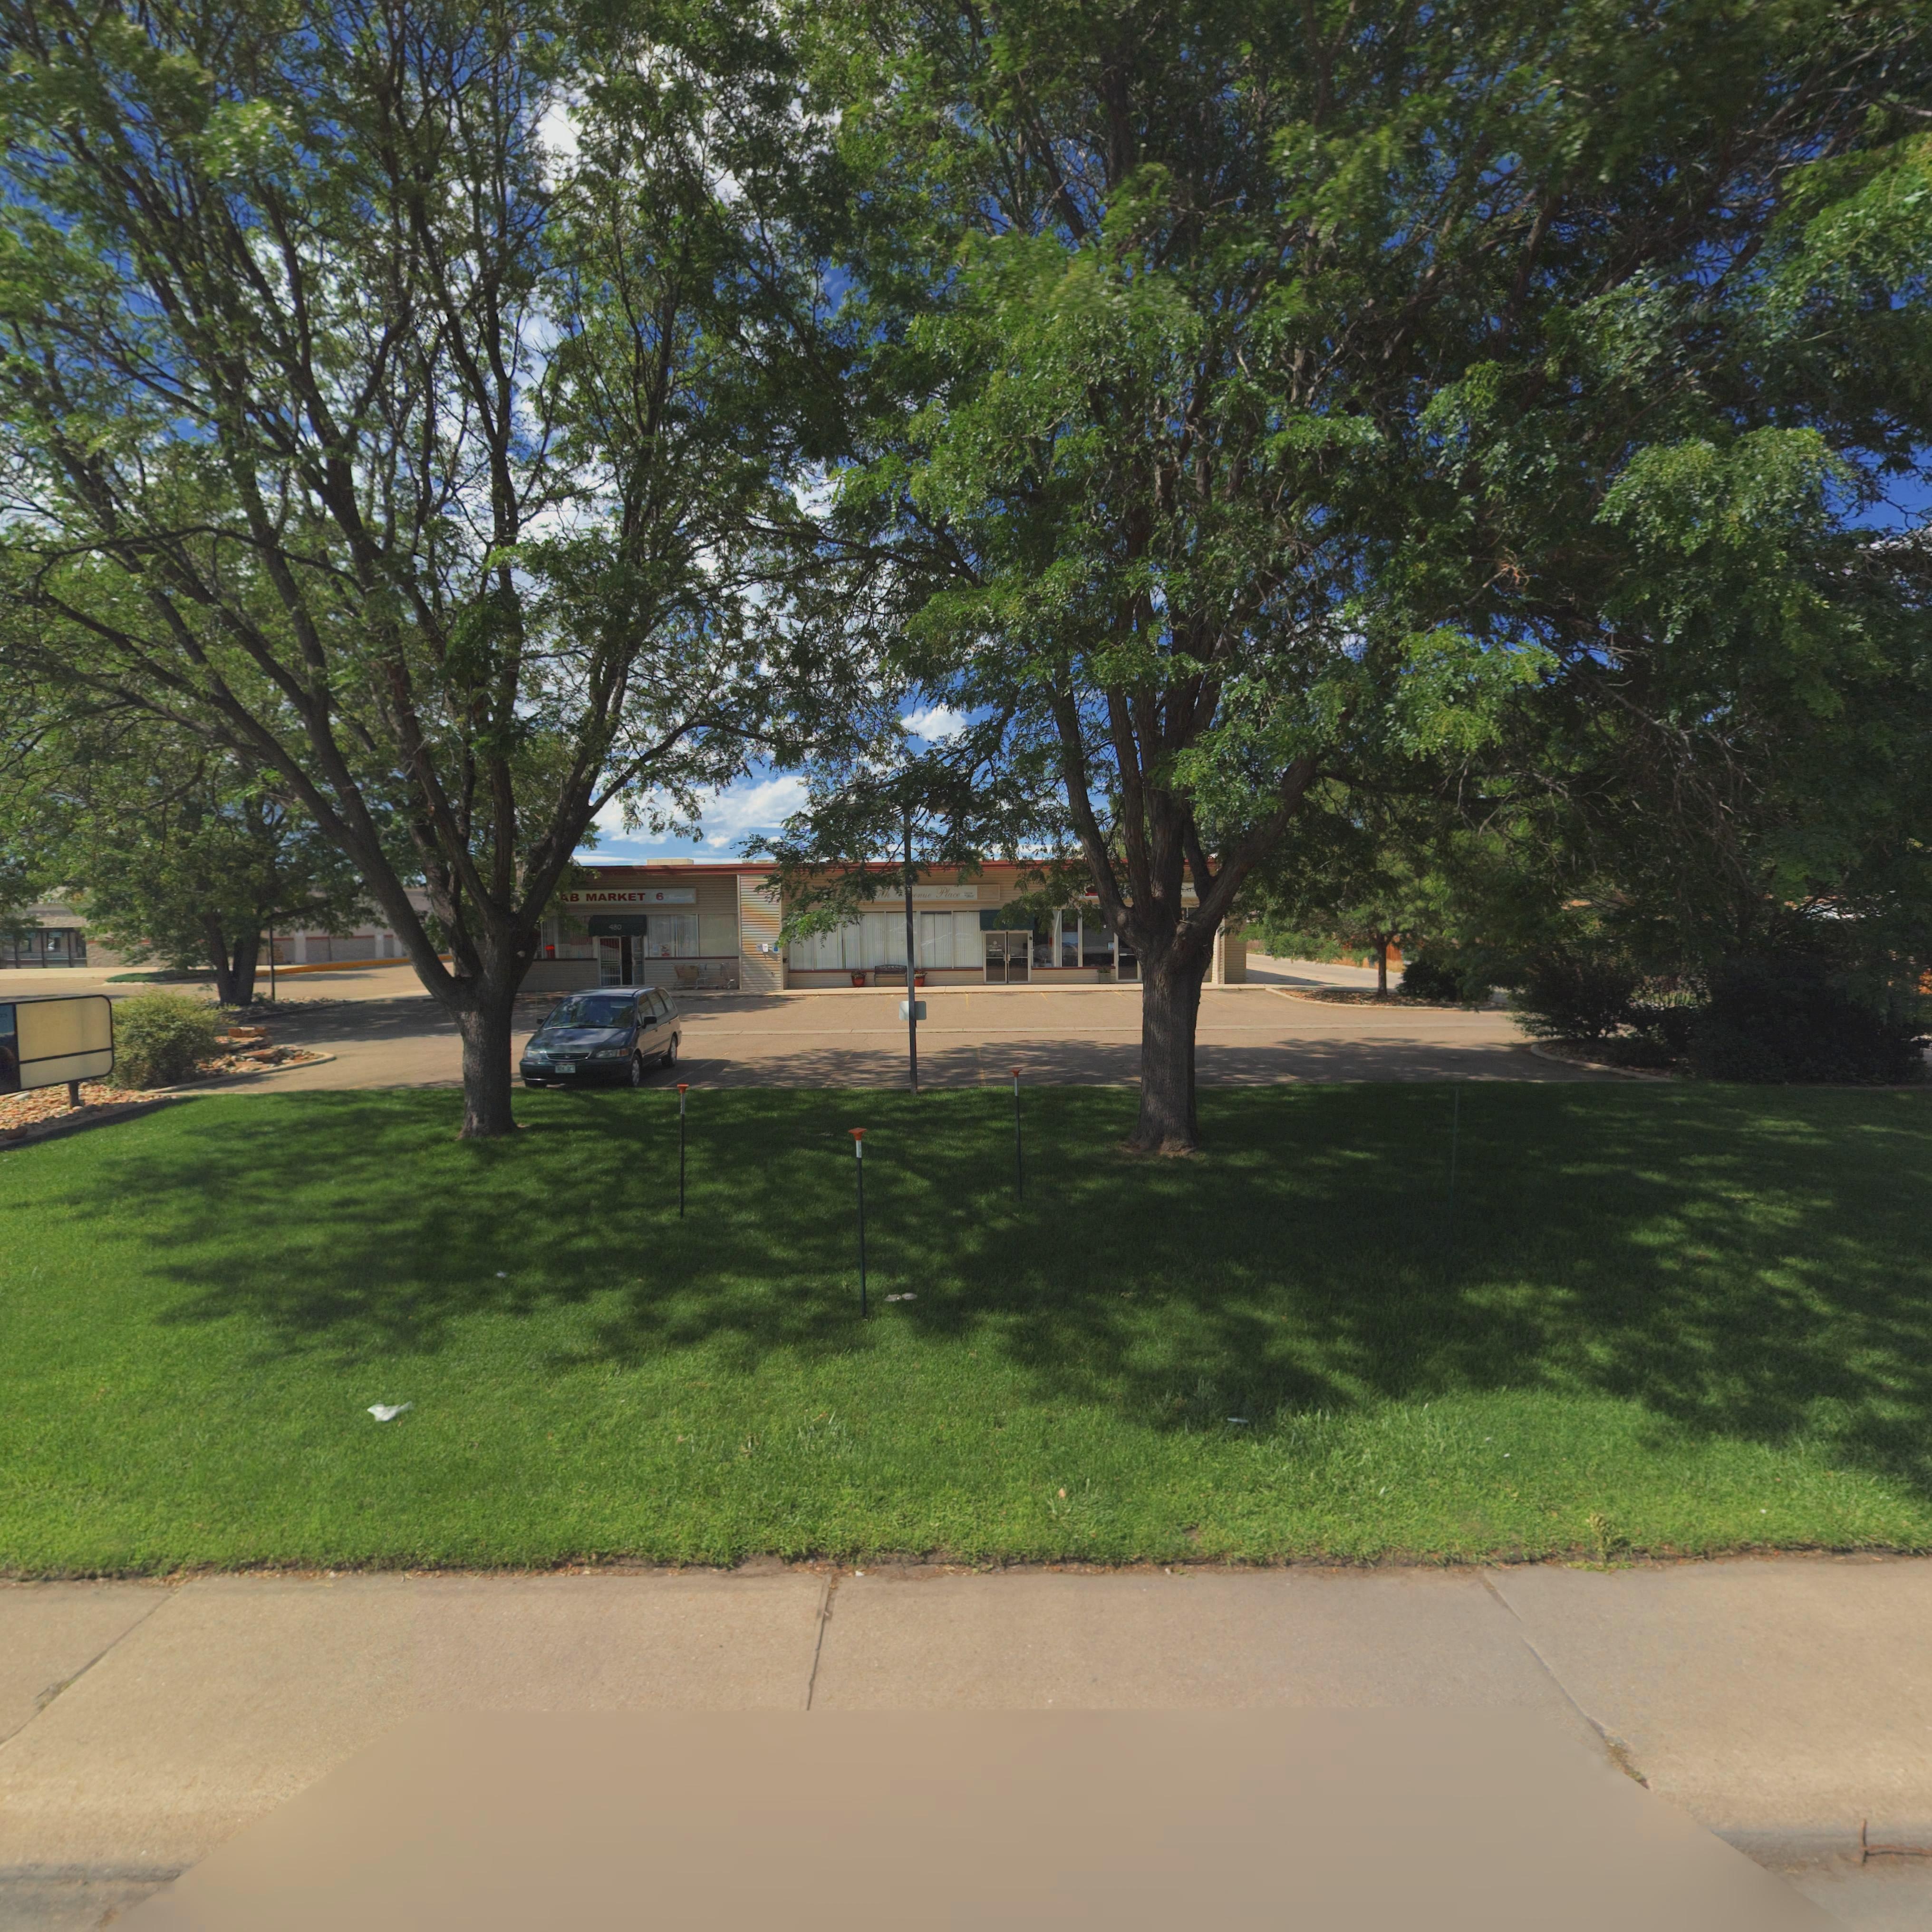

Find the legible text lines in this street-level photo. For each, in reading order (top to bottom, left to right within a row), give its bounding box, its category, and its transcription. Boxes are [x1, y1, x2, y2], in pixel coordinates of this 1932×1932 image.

[871, 885, 961, 898] BusinessName: *7*h **enue Place
[1181, 886, 1196, 893] BusinessName: EAT*
[557, 892, 665, 902] BusinessName: *B MARKET 6
[608, 924, 622, 930] StreetNumber: 480